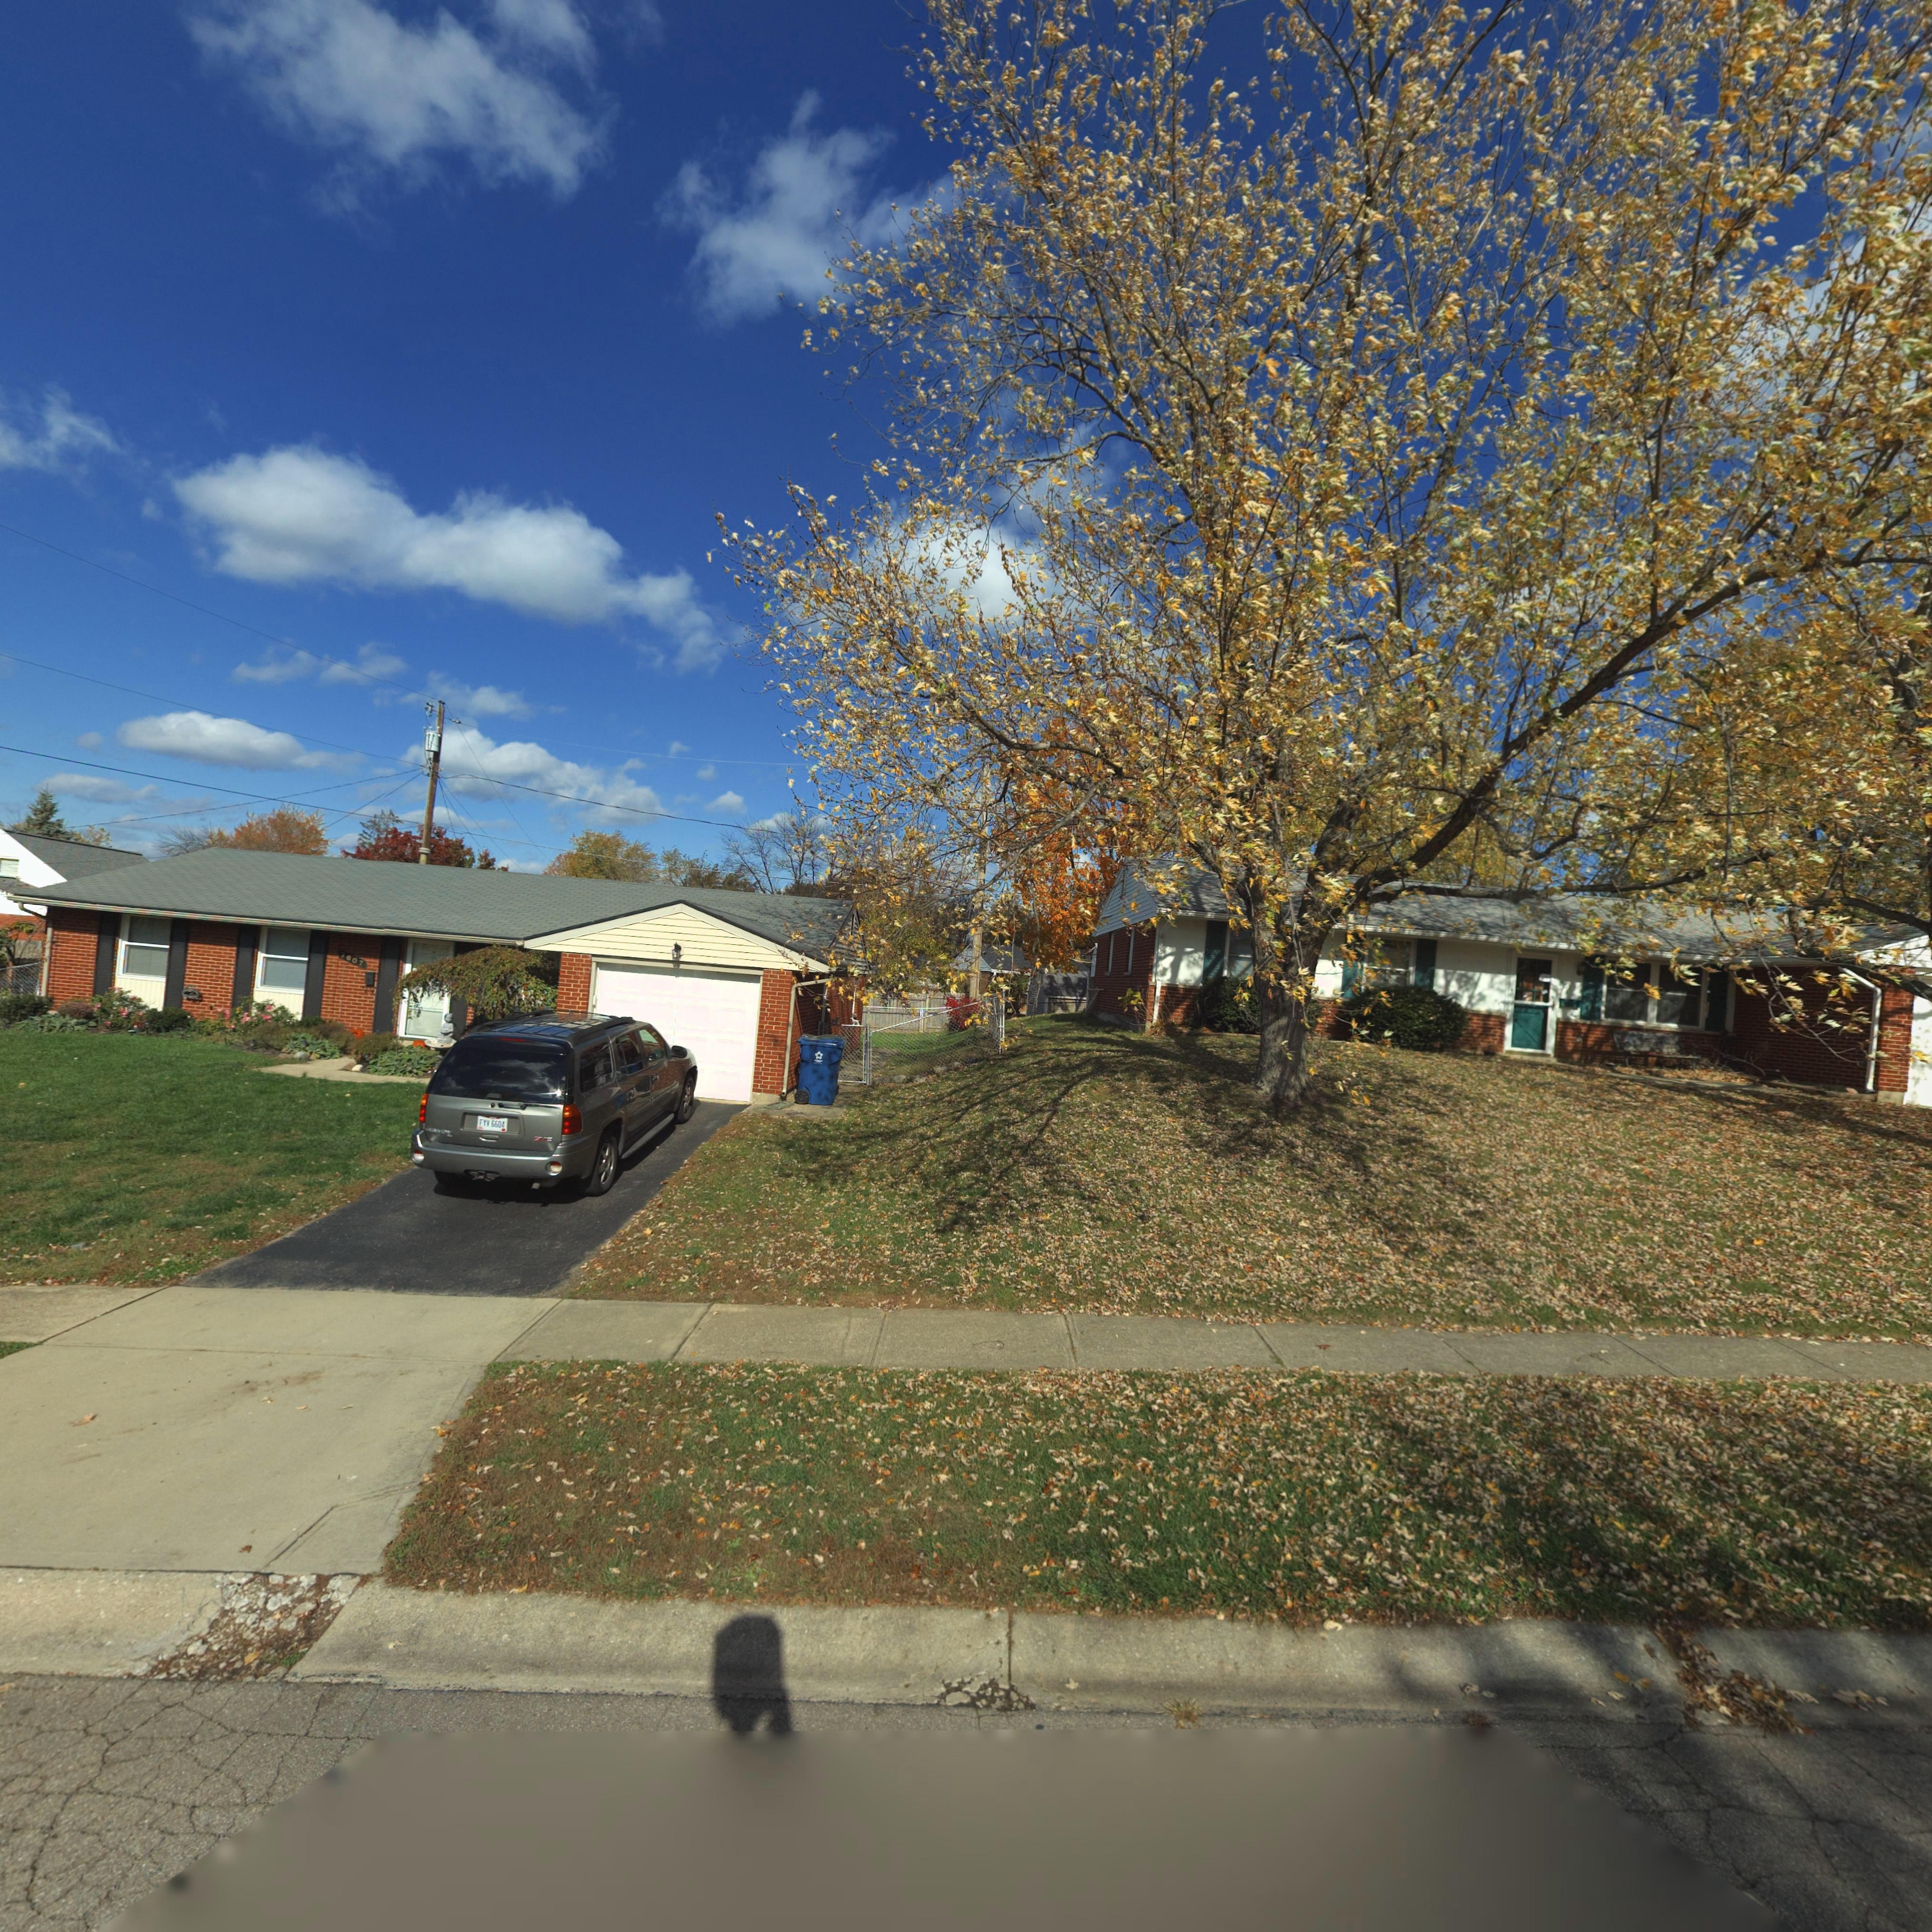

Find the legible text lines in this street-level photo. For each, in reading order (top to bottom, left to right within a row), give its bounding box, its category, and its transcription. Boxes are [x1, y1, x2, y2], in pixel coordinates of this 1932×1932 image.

[340, 951, 364, 967] StreetNumber: 7607
[1557, 979, 1578, 993] StreetNumber: 7613